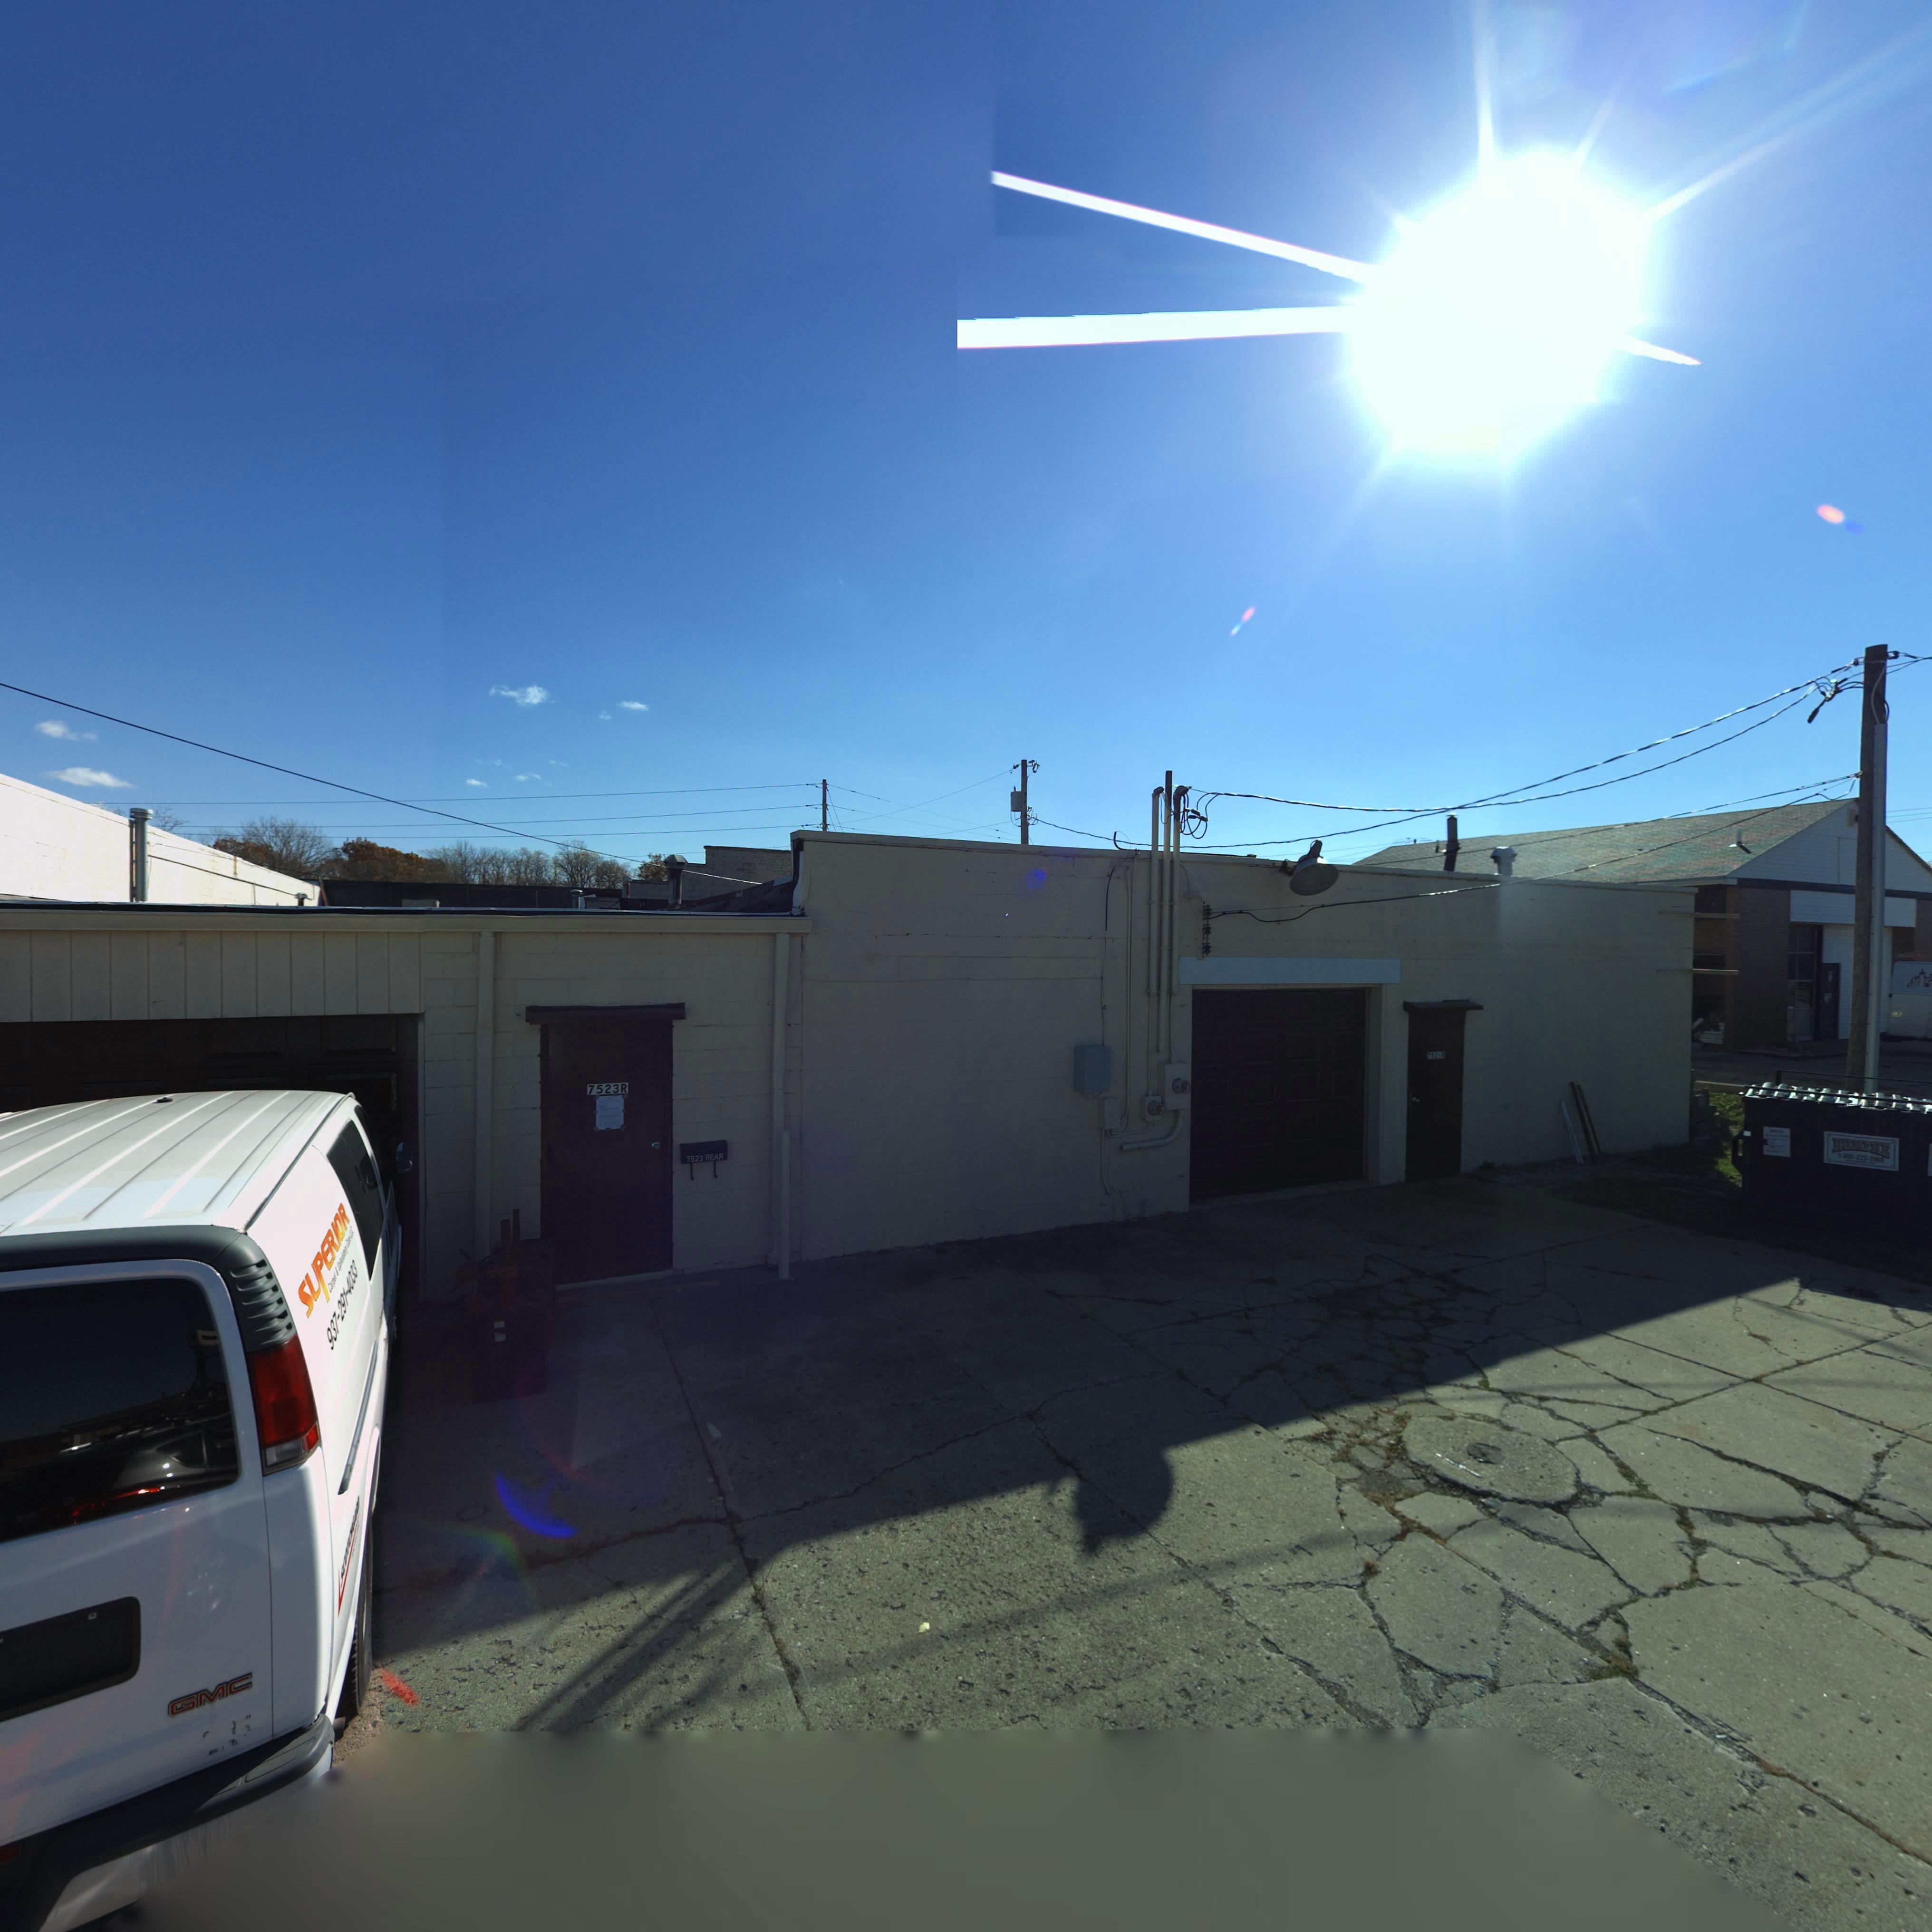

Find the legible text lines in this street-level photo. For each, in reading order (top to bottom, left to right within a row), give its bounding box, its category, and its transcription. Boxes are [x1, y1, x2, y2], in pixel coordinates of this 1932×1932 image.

[1427, 1052, 1441, 1060] StreetNumber: 7521
[587, 1083, 620, 1095] StreetNumber: 7523
[686, 1154, 704, 1163] StreetNumber: 7523